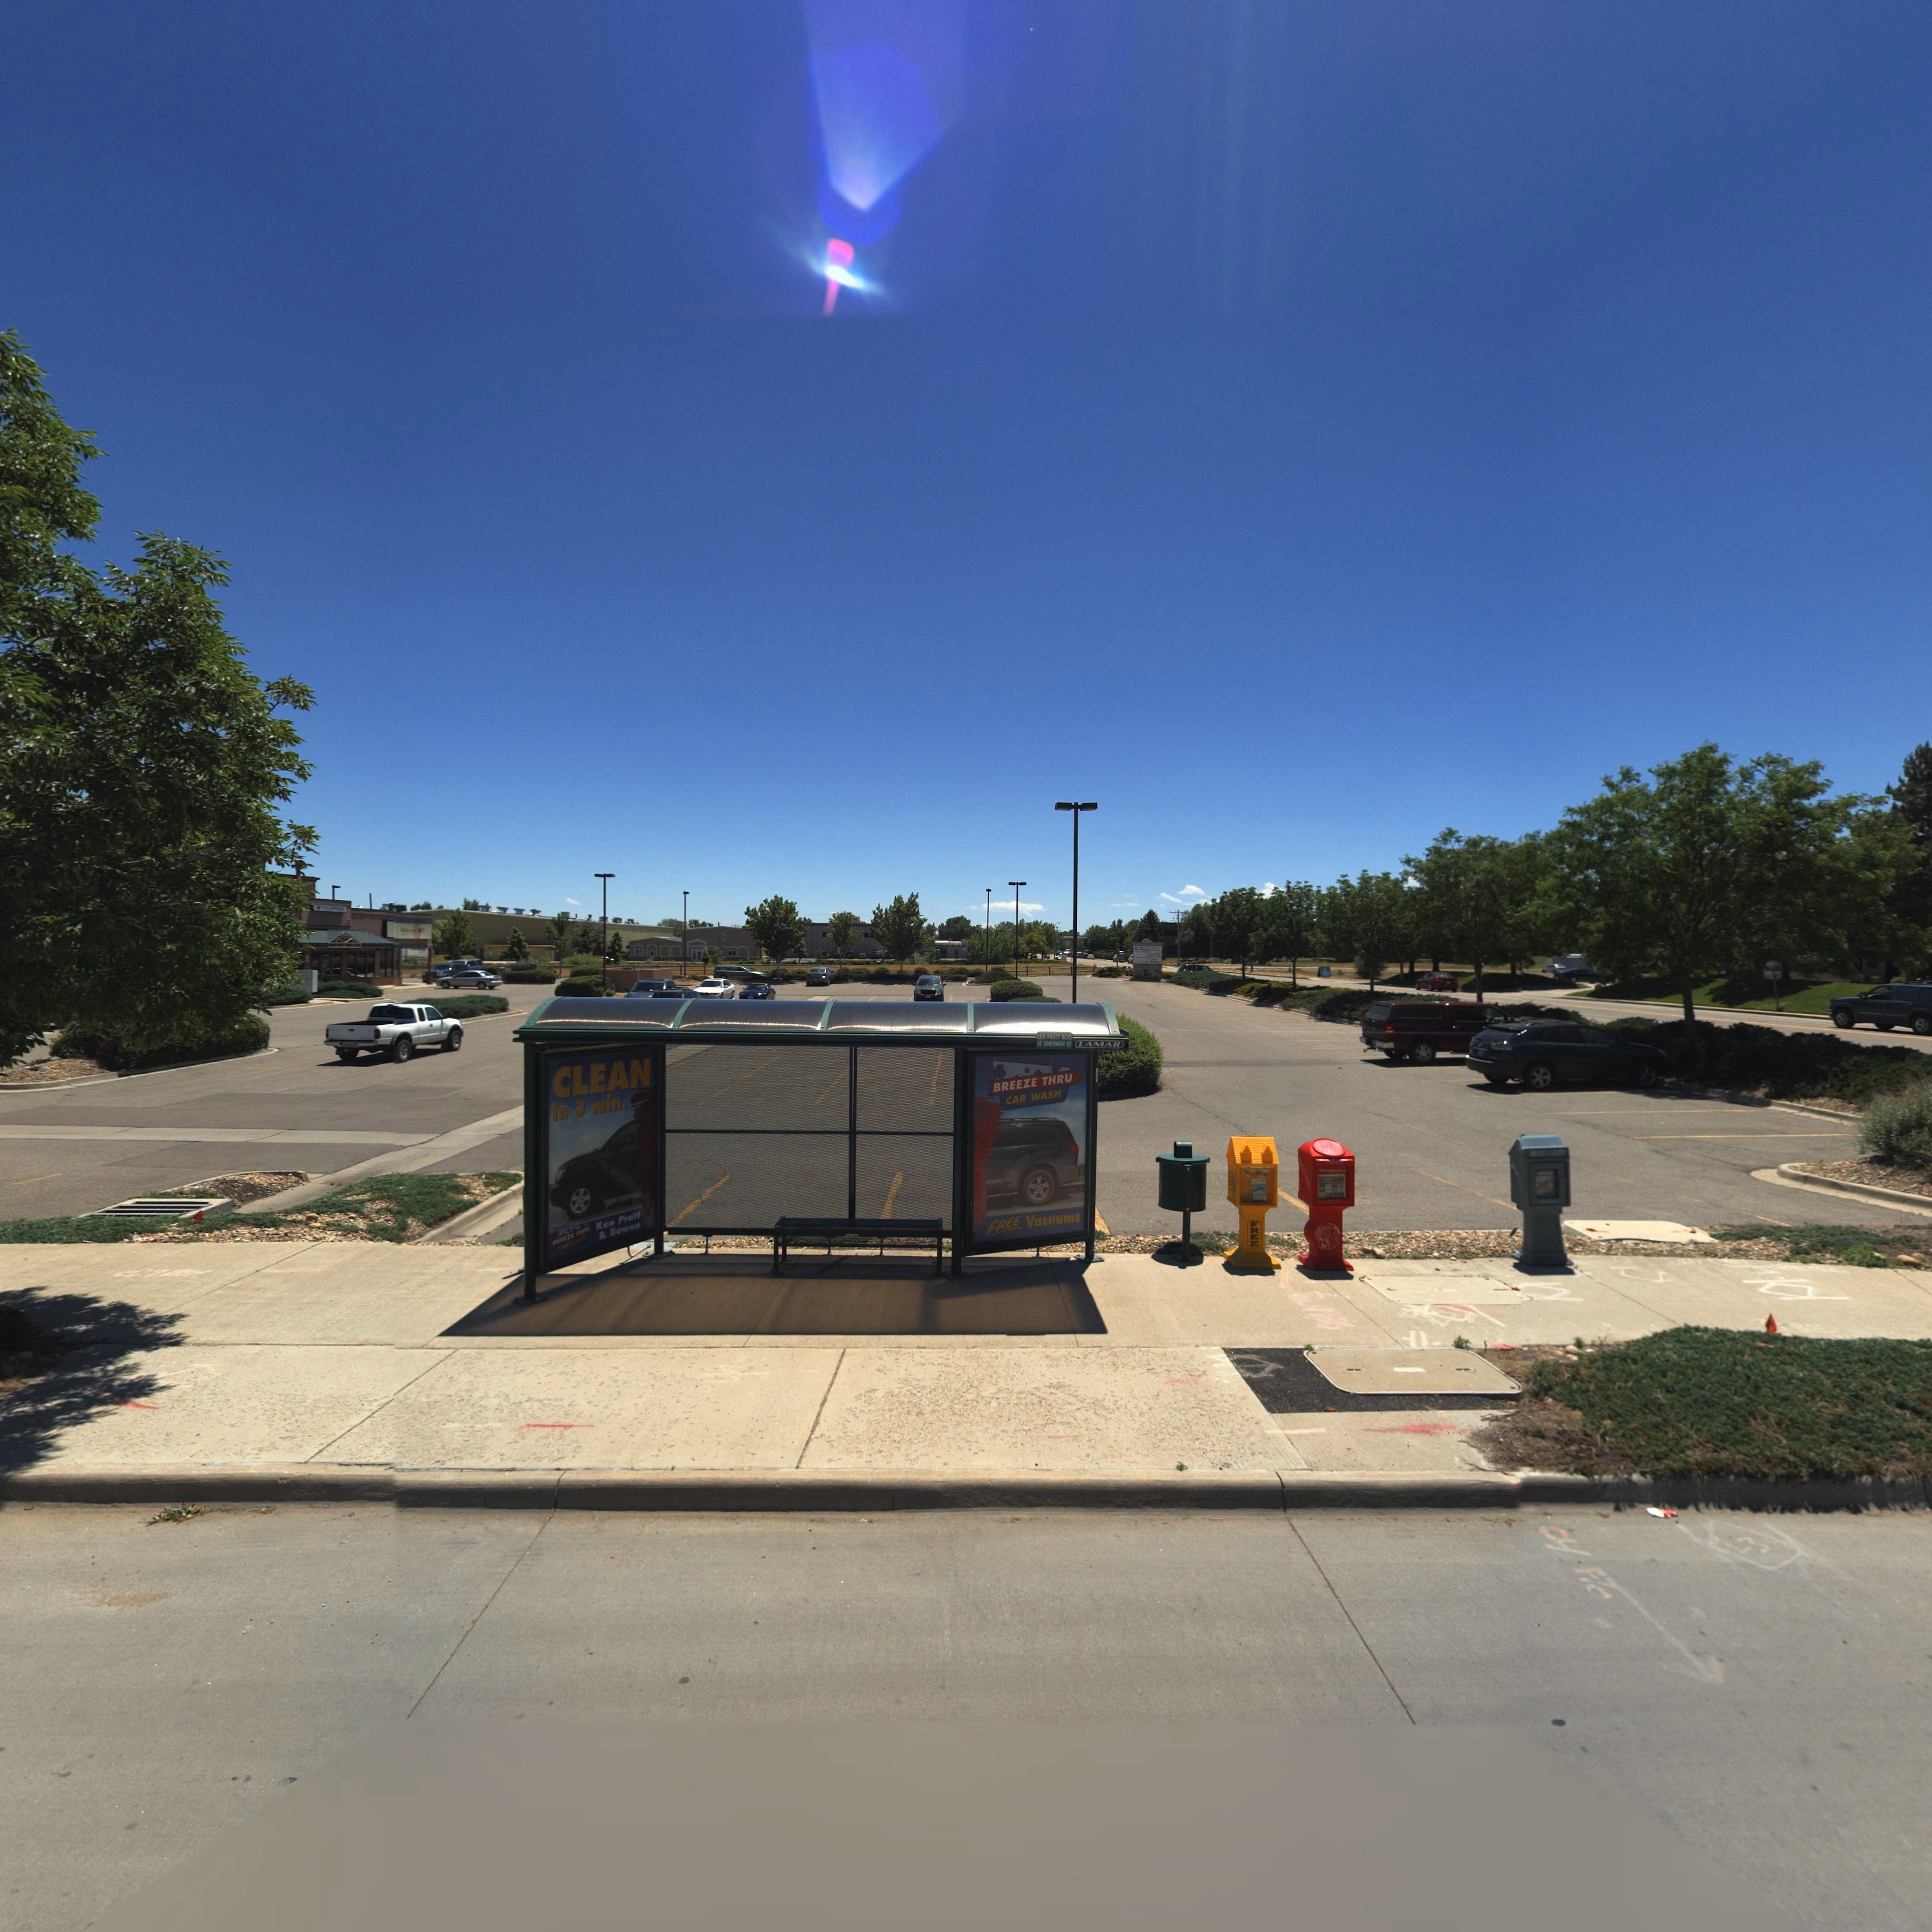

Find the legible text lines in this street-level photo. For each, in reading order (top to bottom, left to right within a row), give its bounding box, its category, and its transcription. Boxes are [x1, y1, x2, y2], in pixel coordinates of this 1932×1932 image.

[400, 926, 426, 933] BusinessName: *O*****